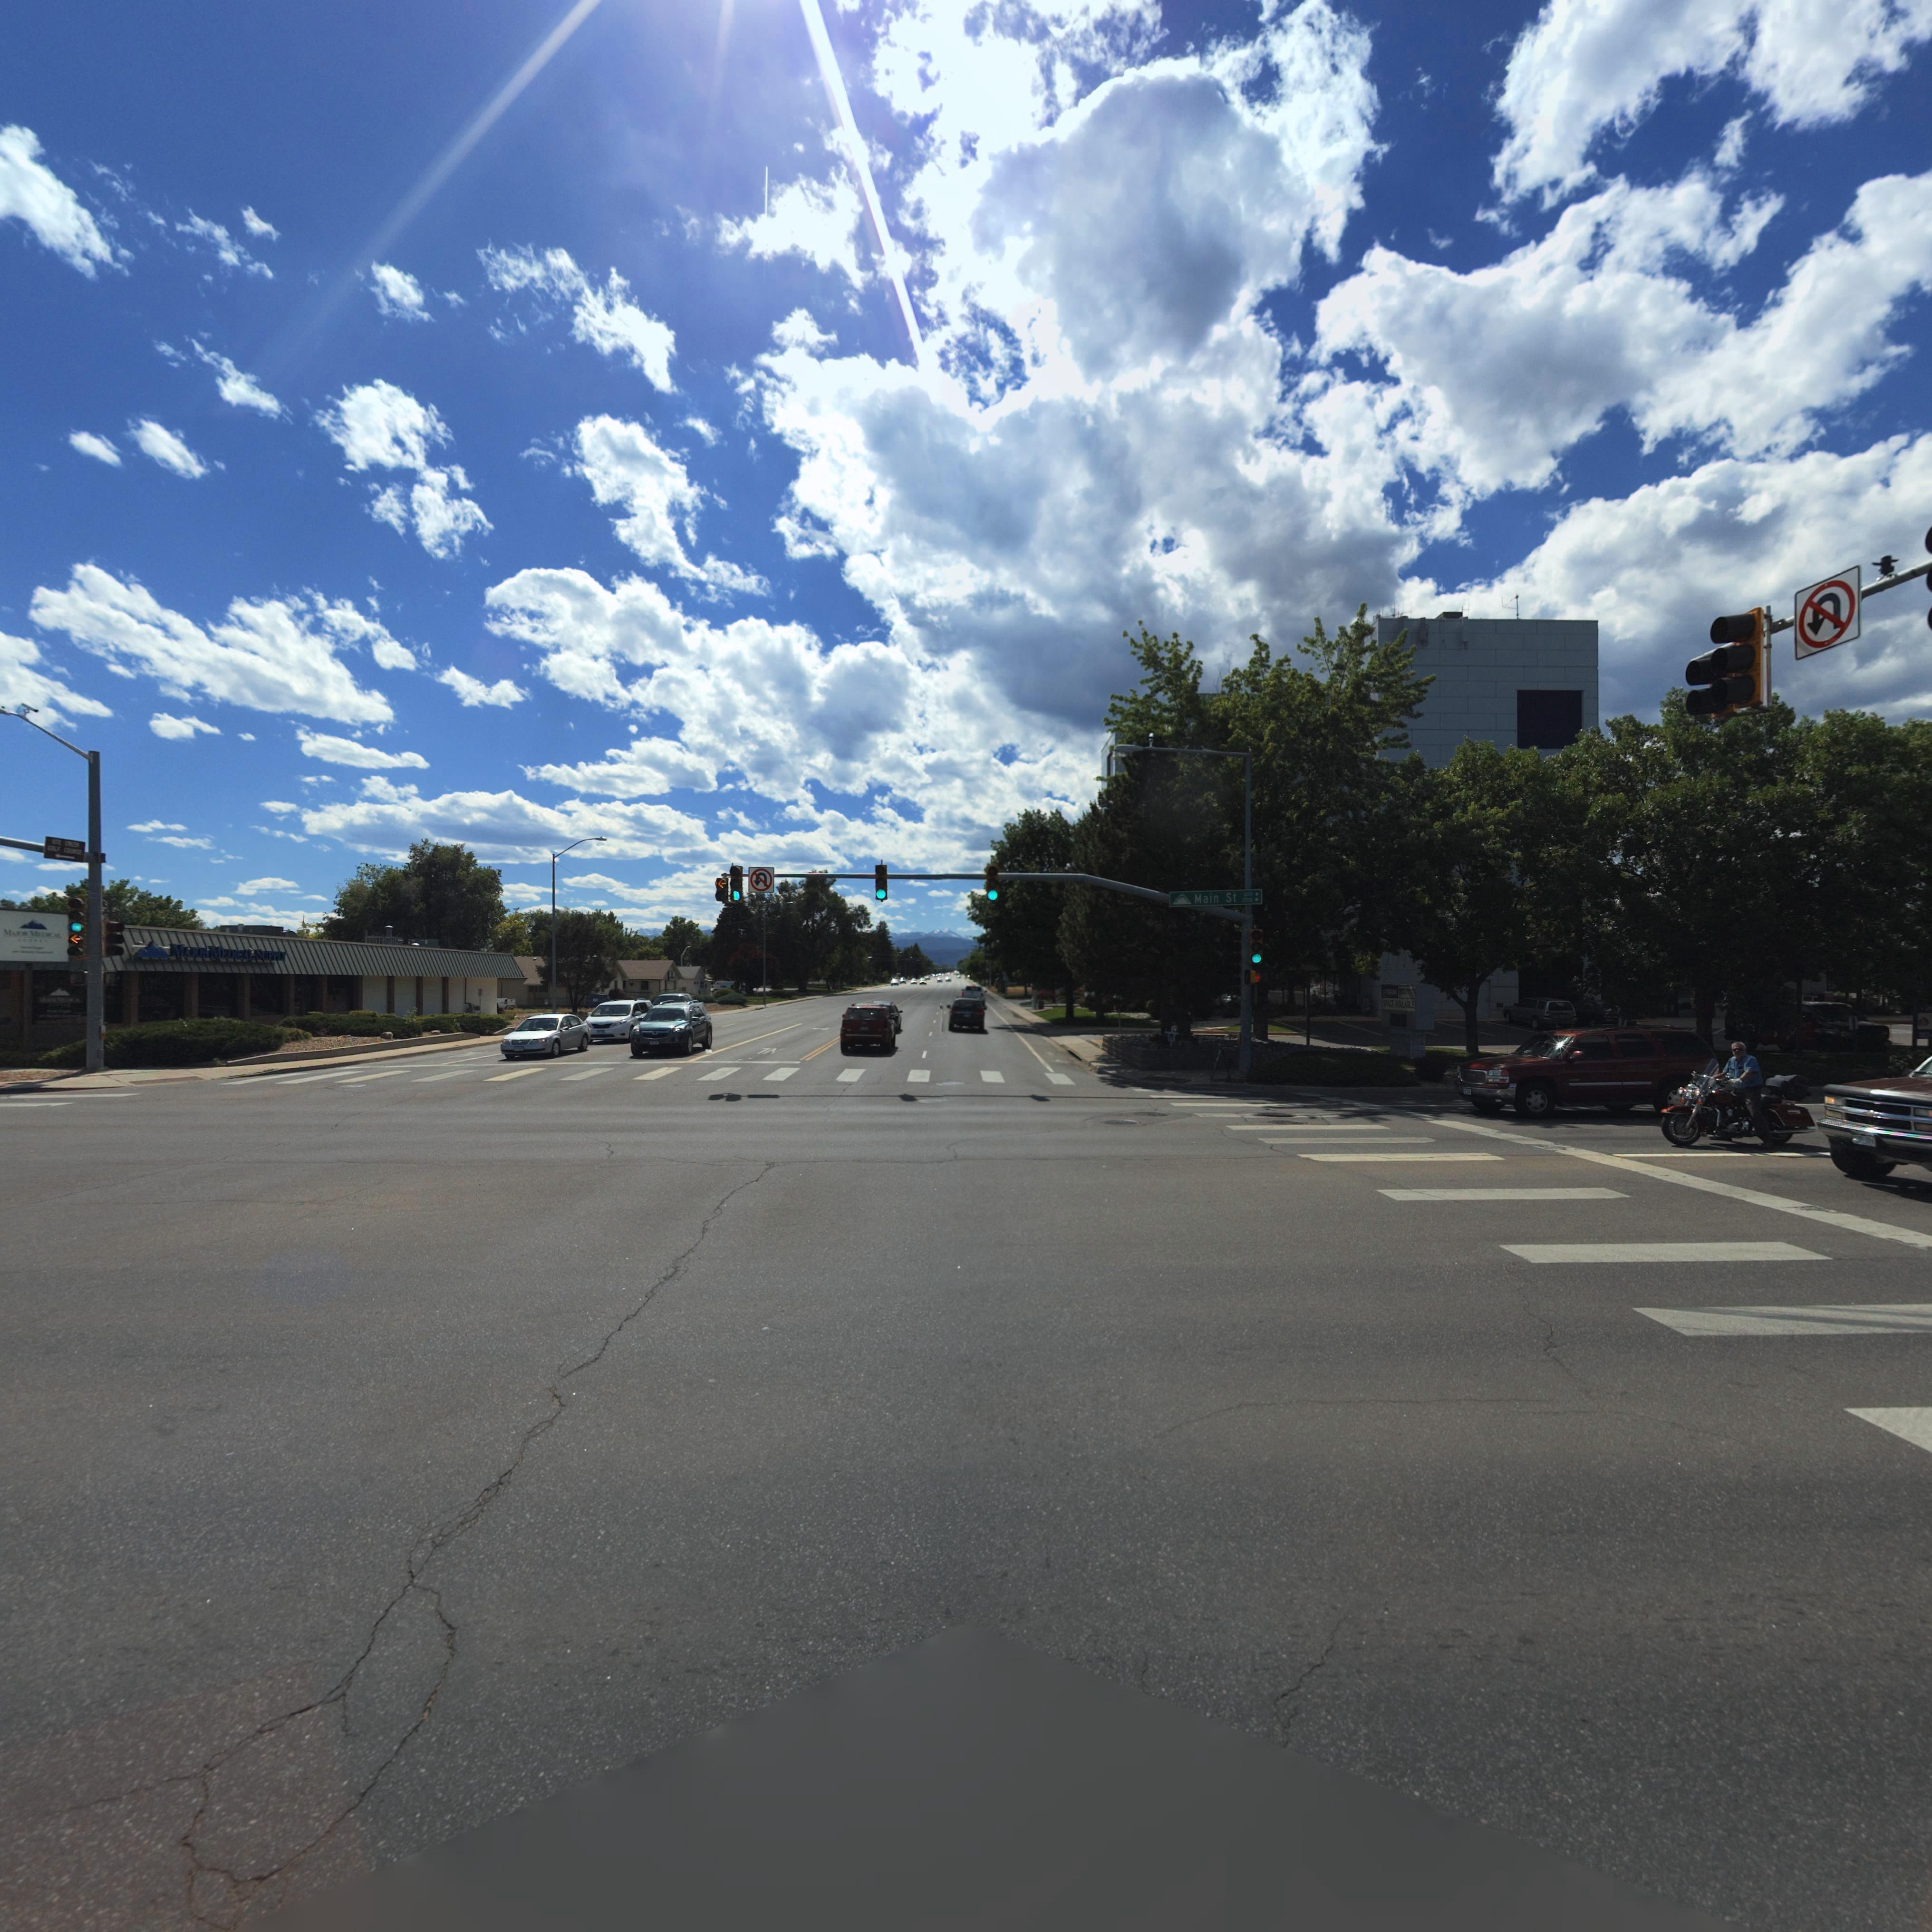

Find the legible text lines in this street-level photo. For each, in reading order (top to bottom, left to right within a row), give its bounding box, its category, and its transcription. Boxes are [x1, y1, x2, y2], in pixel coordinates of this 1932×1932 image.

[1194, 891, 1237, 904] StreetName: Main St
[1243, 891, 1253, 896] StreetNumberRange: 600
[1242, 897, 1259, 902] StreetNumberRange: 1700 ->
[3, 928, 63, 938] BusinessName: MAJO* ME***AL
[17, 938, 48, 943] BusinessName: *UPPL*
[171, 943, 288, 962] BusinessName: MAJOR MEDICAL SUPPLY
[1381, 987, 1398, 996] BusinessName: 1STBAN*
[38, 996, 81, 1003] BusinessName: M**** M***C**